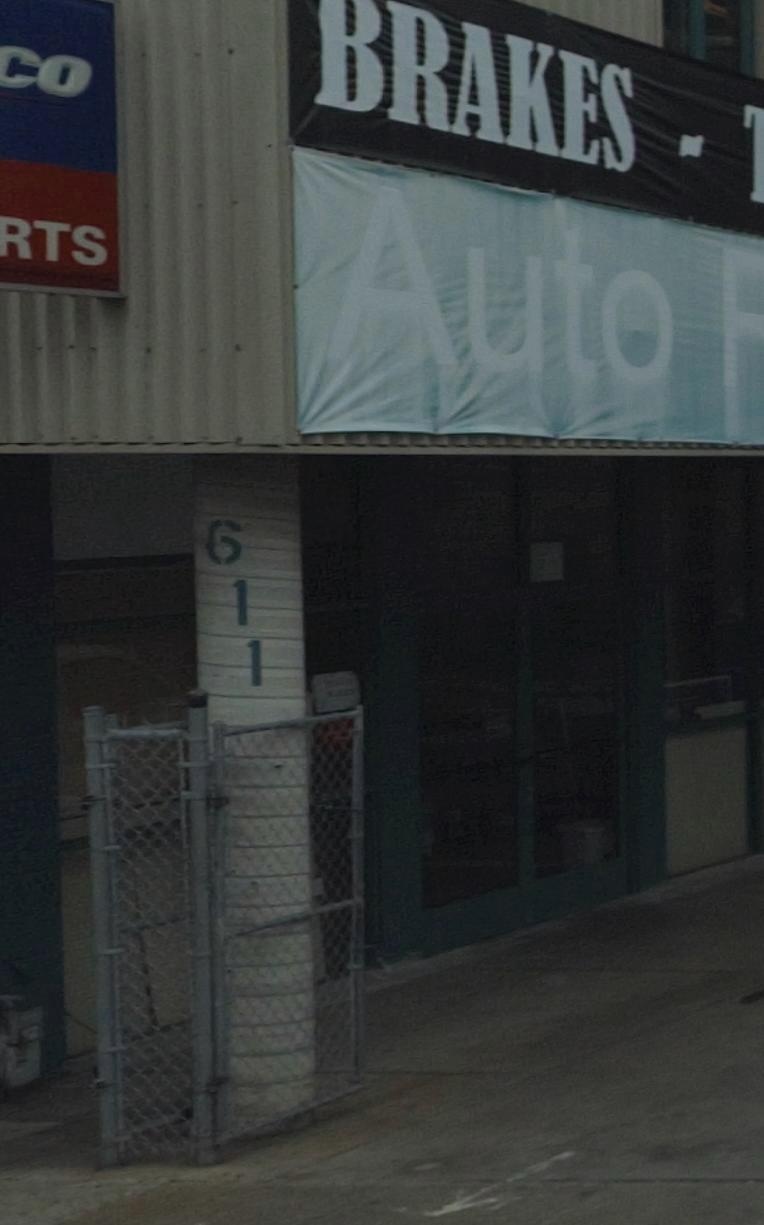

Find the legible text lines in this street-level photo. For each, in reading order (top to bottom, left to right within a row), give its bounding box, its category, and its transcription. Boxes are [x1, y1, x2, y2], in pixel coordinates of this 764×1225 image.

[36, 52, 95, 101] None: O
[384, 1, 639, 174] None: RAKES
[31, 218, 110, 268] None: TS
[323, 181, 679, 383] None: Auto
[203, 516, 265, 692] StreetNumber: 611